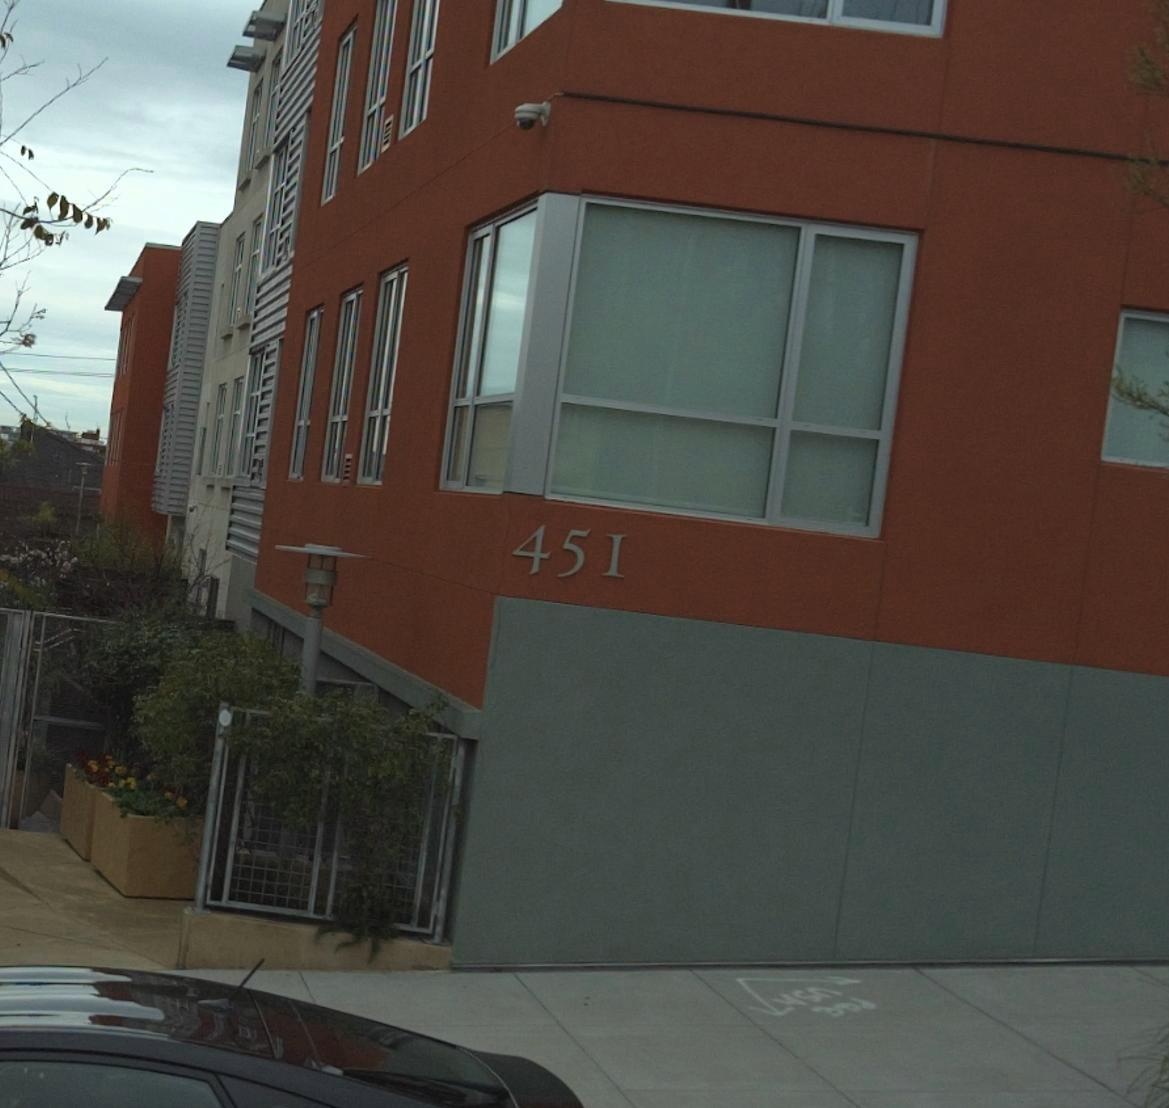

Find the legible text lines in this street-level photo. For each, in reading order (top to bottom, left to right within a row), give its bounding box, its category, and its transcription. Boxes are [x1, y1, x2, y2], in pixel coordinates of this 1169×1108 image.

[507, 521, 631, 580] StreetNumber: 451